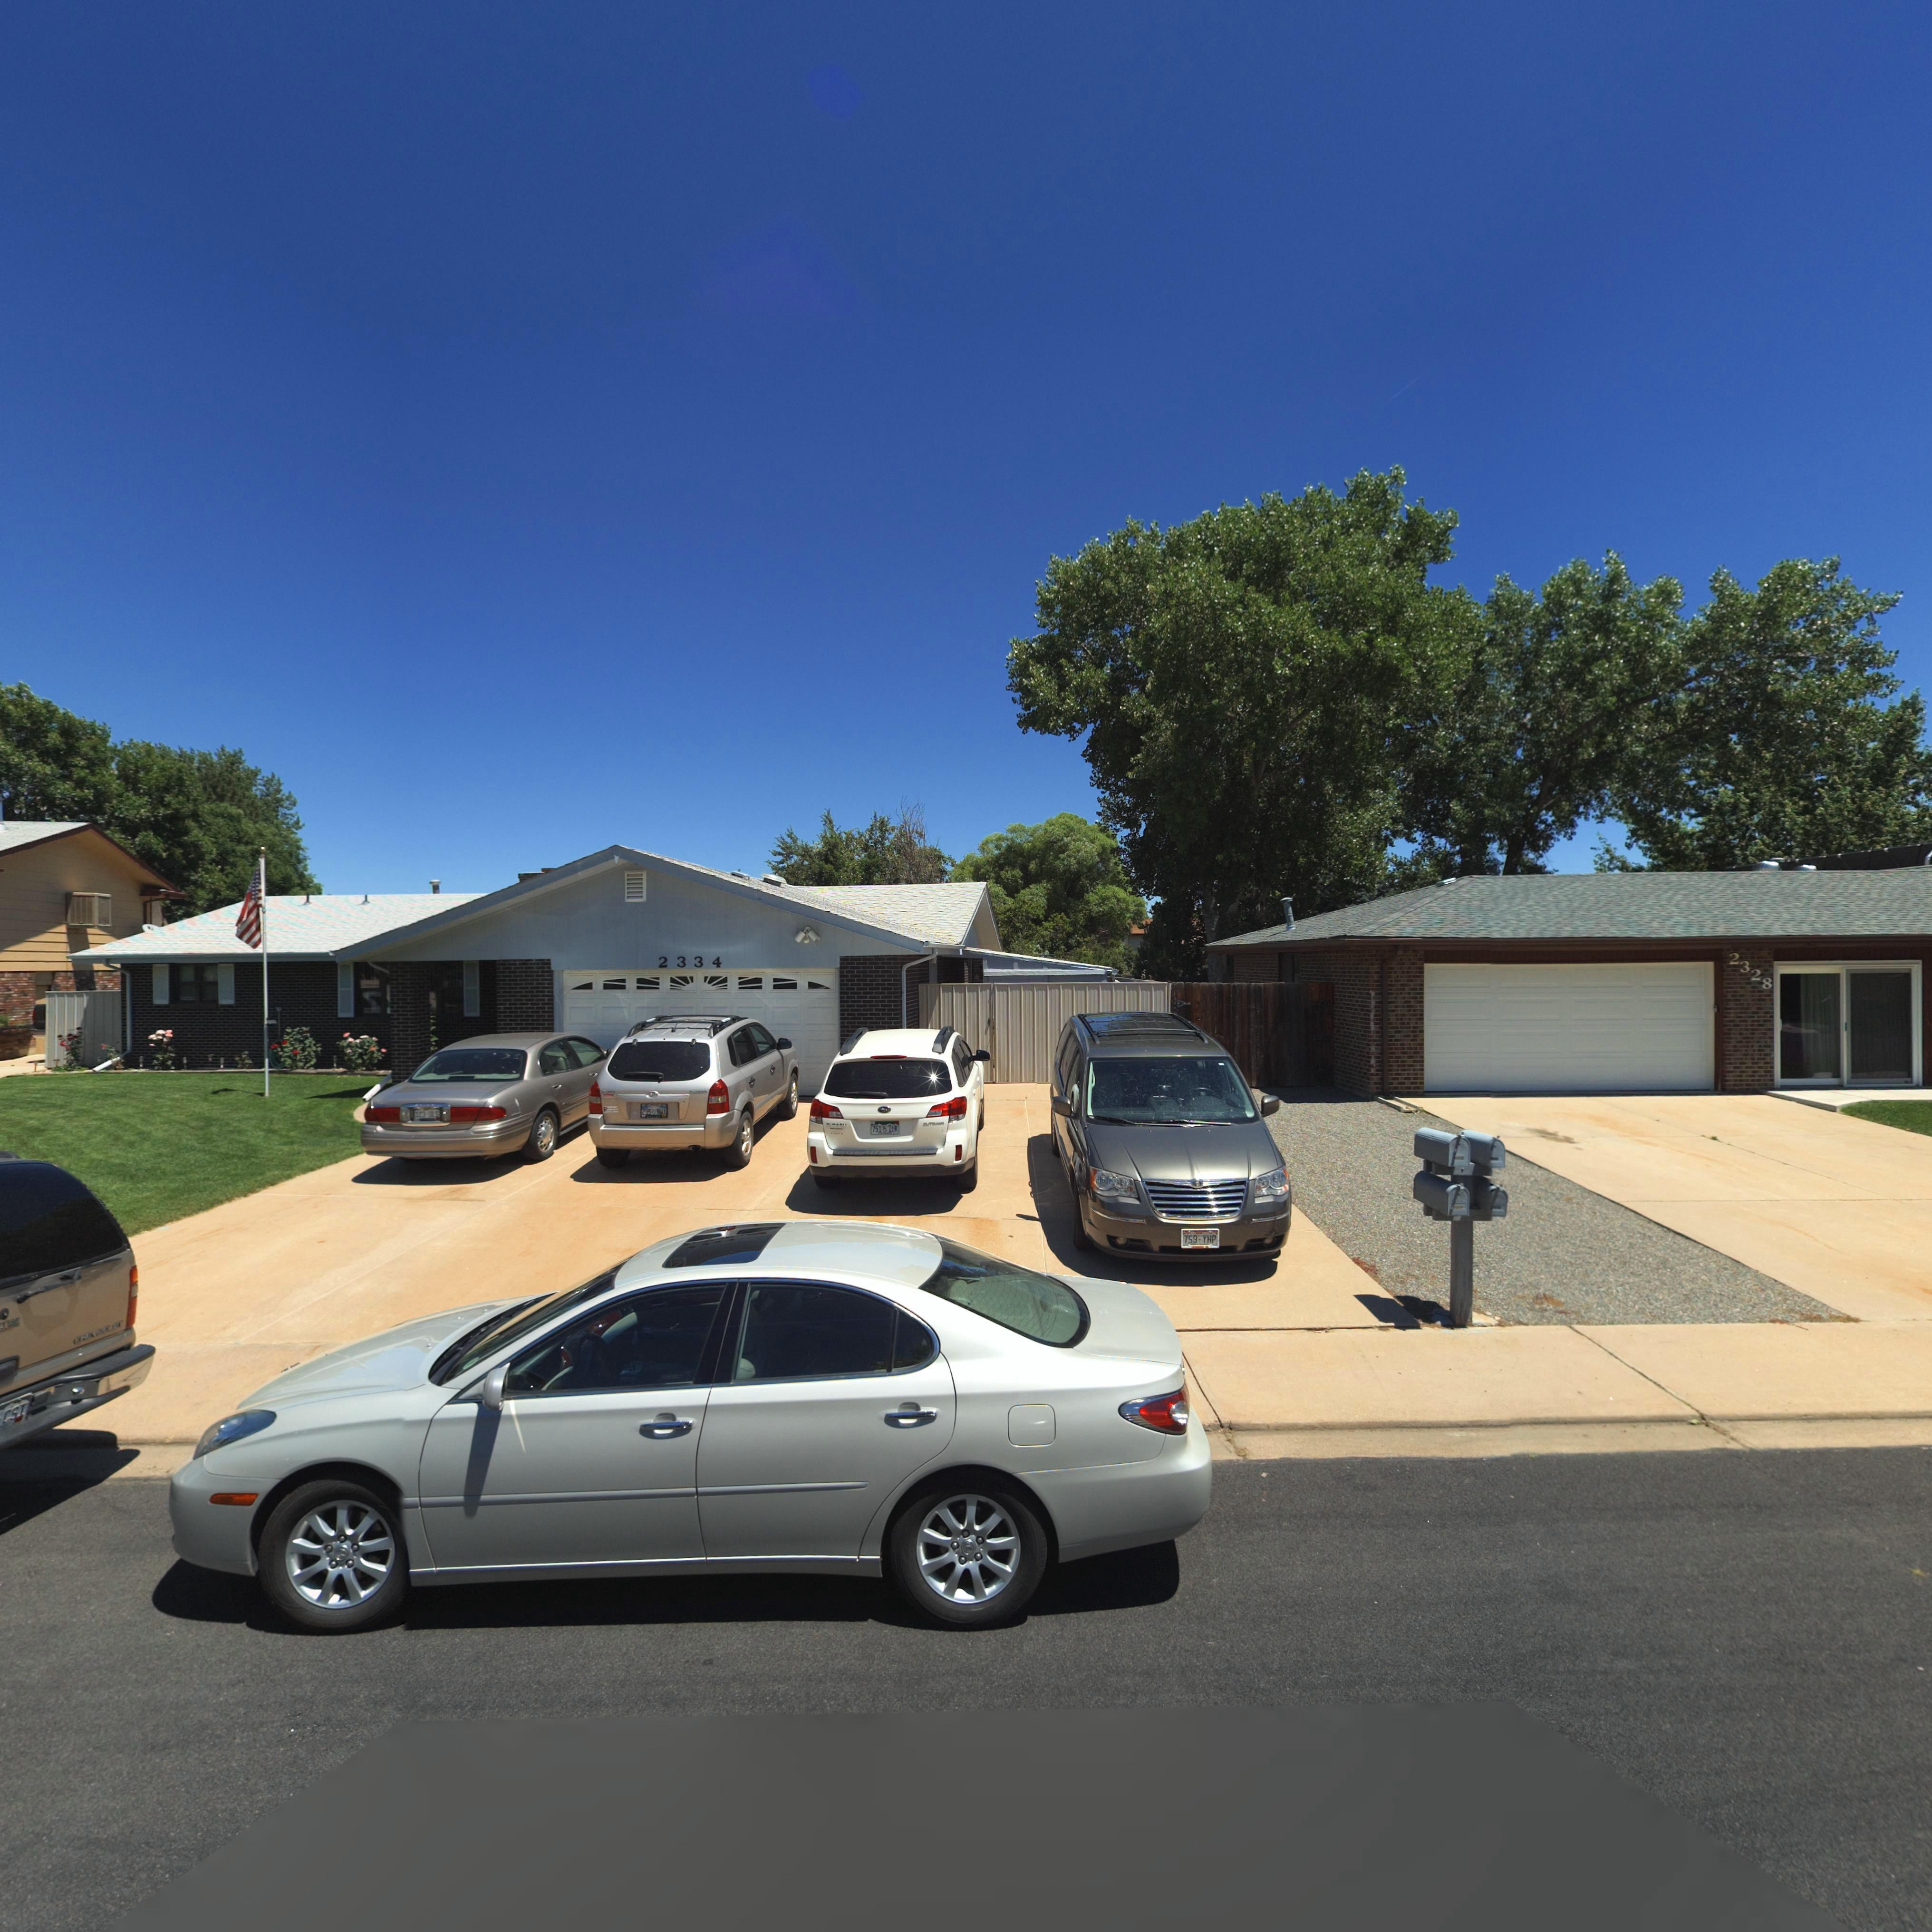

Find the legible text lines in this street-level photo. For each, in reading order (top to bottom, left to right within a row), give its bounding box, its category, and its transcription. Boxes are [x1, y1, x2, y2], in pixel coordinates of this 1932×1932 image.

[658, 956, 722, 968] StreetNumber: 2334
[1729, 952, 1772, 990] StreetNumber: 2328